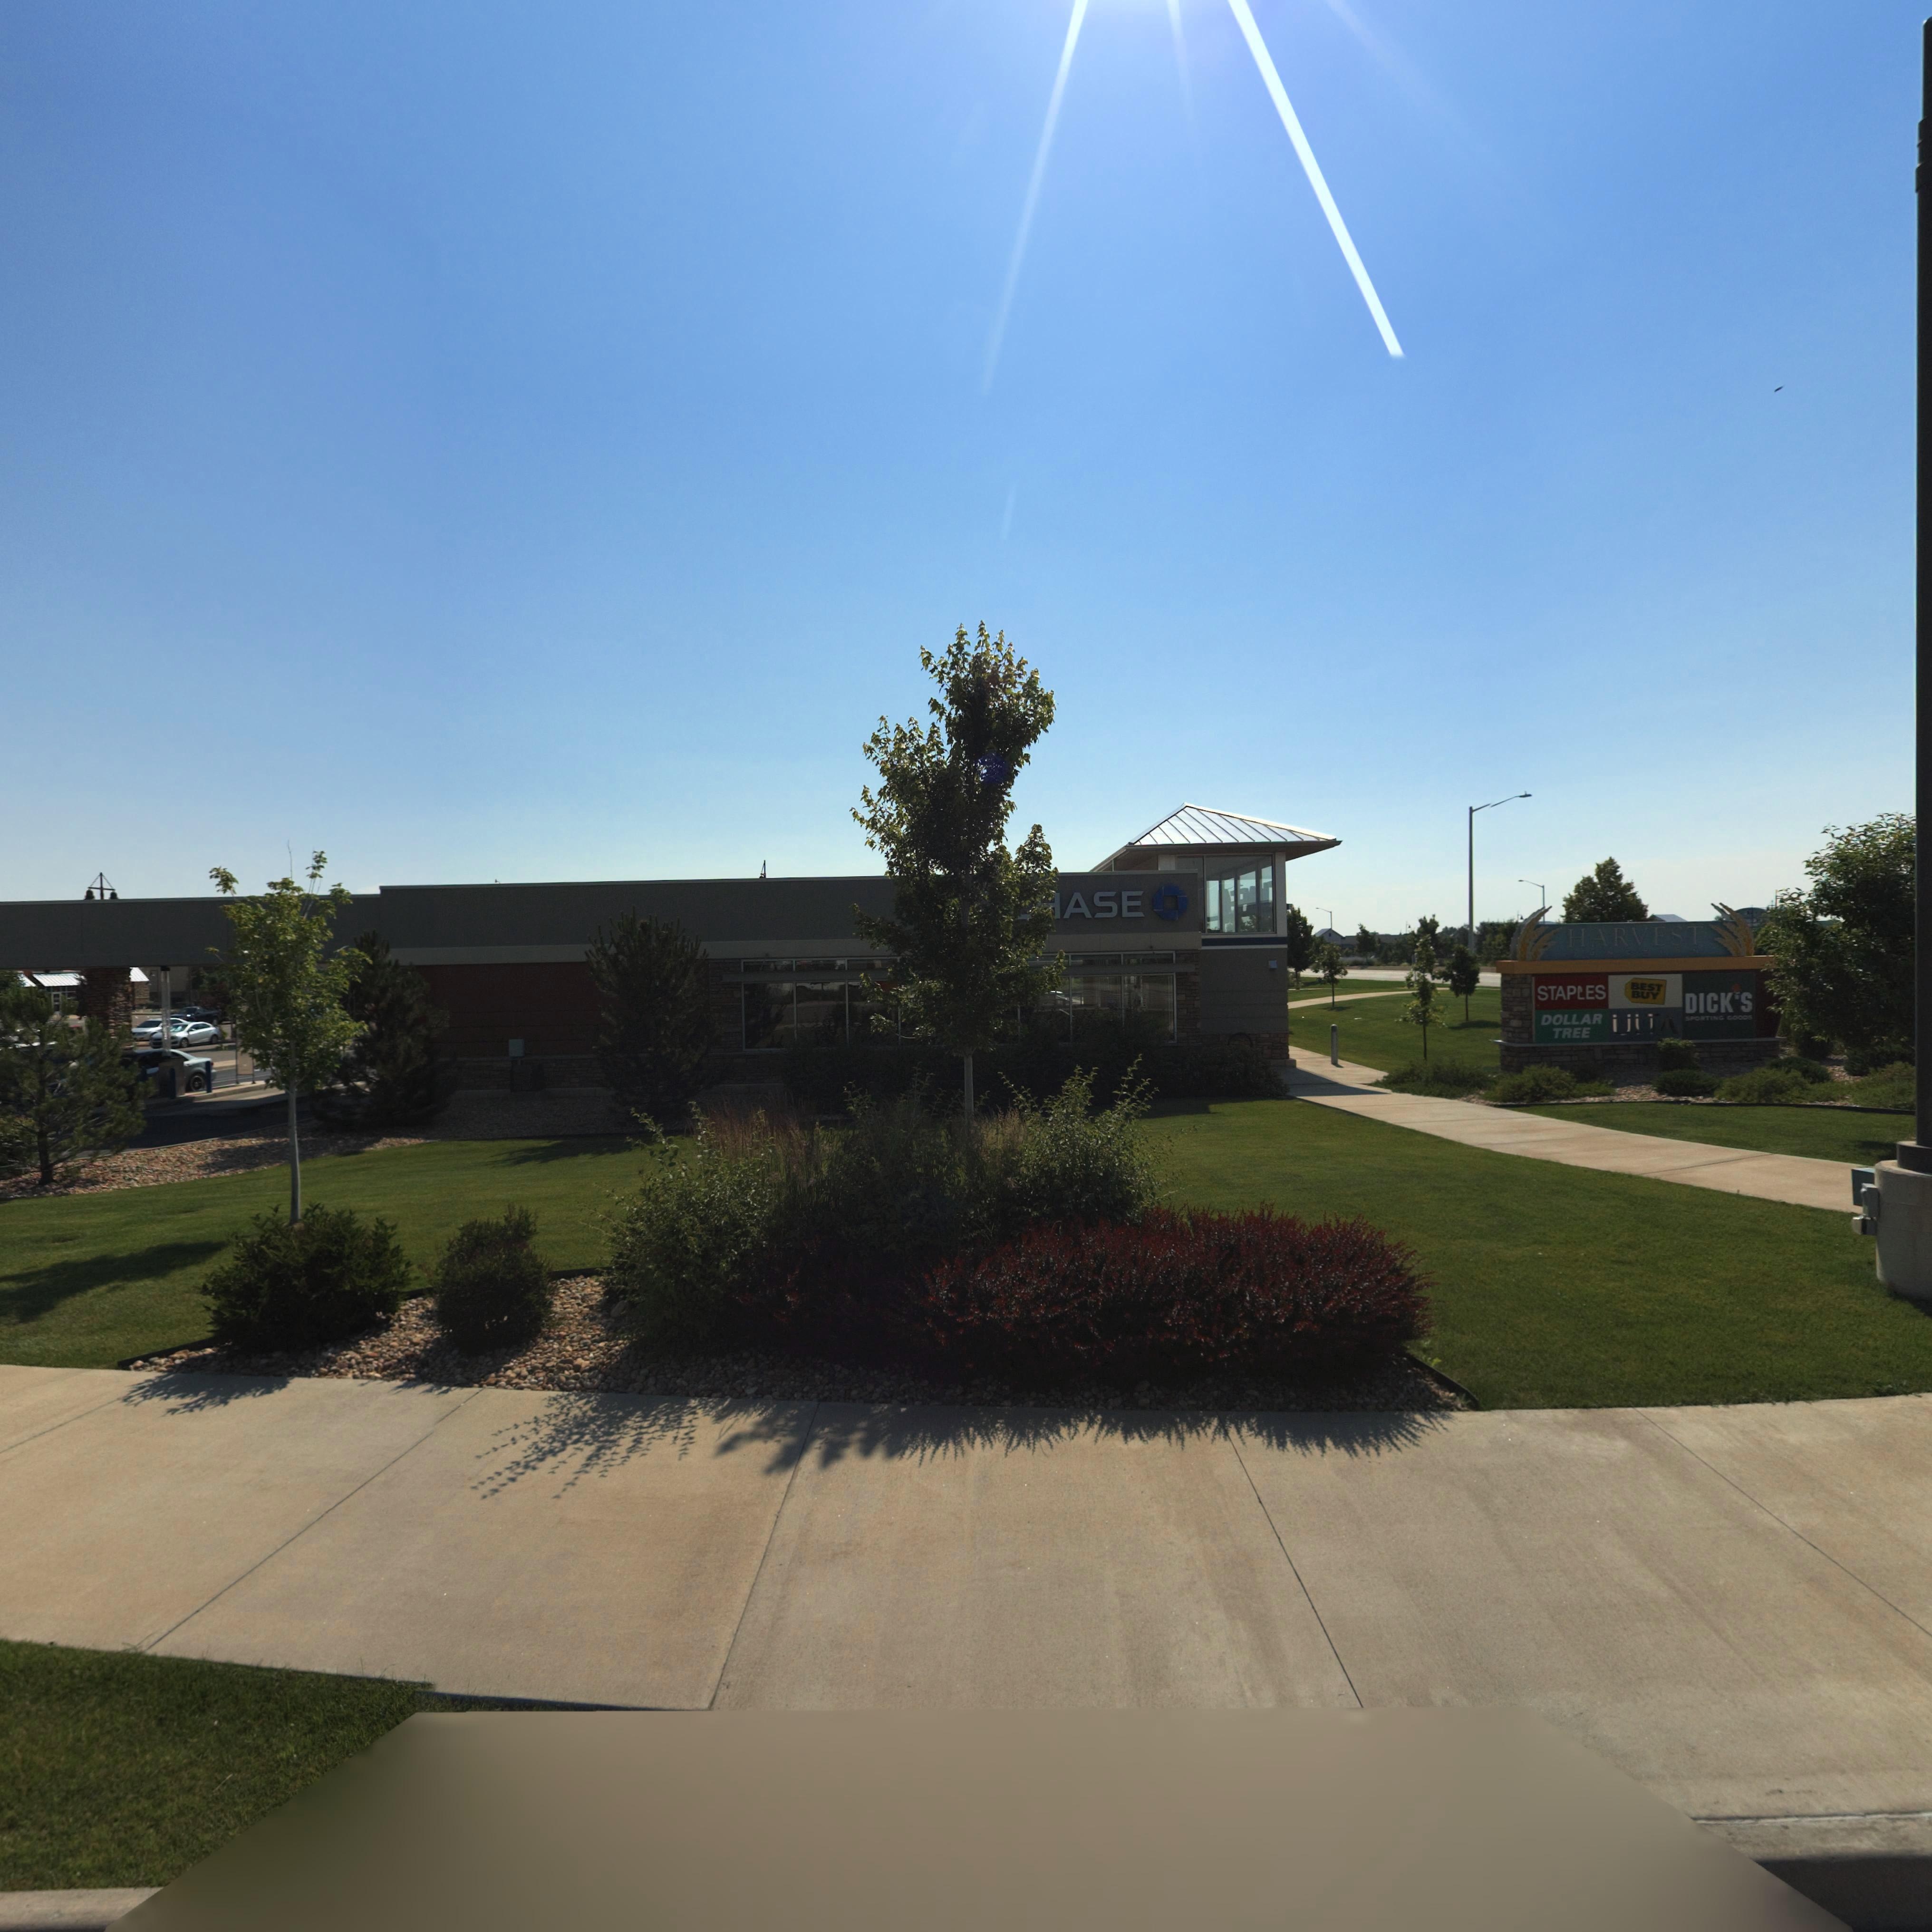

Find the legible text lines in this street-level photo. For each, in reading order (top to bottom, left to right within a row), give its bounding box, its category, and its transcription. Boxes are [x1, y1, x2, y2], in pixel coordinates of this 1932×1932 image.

[1035, 890, 1145, 921] BusinessName: *ASE
[1537, 985, 1606, 1001] BusinessName: STAPLES
[1631, 990, 1659, 999] BusinessName: BUY
[1631, 982, 1662, 992] BusinessName: BEST
[1685, 992, 1752, 1014] BusinessName: DICK'S
[1541, 1013, 1603, 1025] BusinessName: DOLLAR
[1612, 1013, 1679, 1037] BusinessName: ULTA
[1685, 1014, 1752, 1021] BusinessName: SPORTING GOODS
[1552, 1027, 1591, 1039] BusinessName: TREE